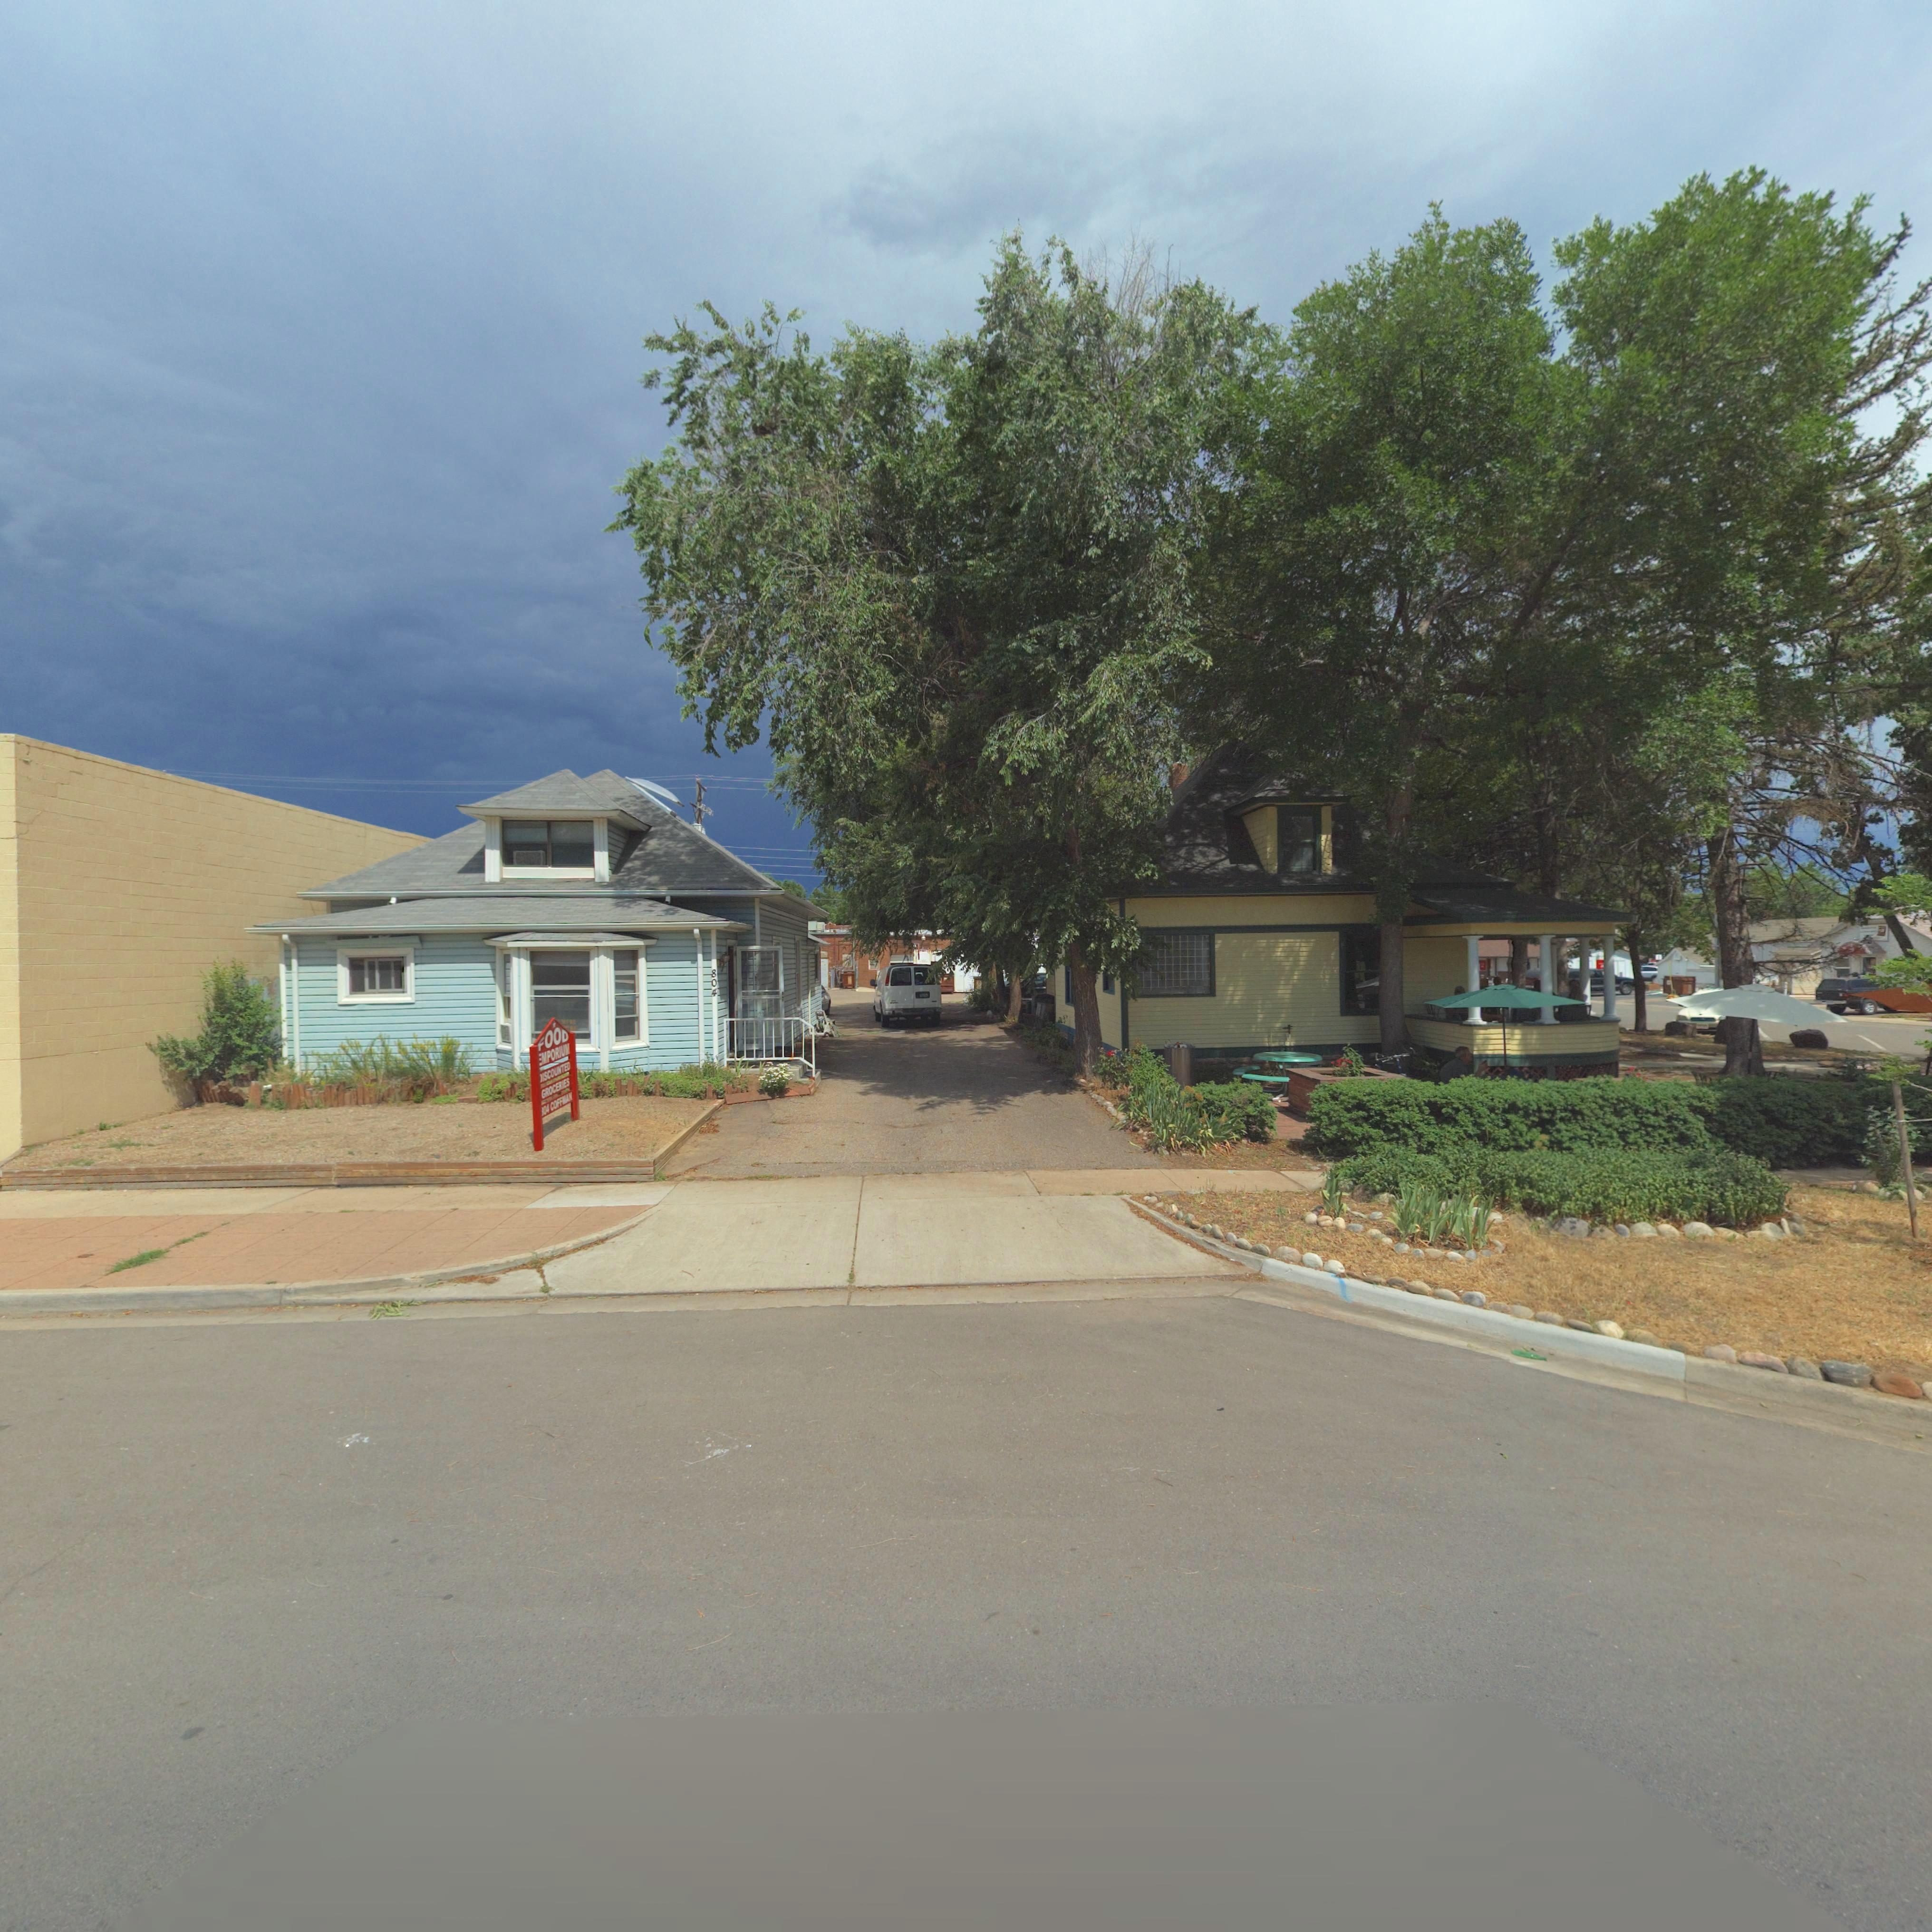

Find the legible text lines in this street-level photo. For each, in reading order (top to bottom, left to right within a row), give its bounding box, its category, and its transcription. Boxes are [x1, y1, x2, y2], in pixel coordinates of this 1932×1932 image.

[710, 968, 718, 997] StreetNumber: 804
[537, 1026, 569, 1052] BusinessName: FOOD
[537, 1042, 570, 1067] BusinessName: *MPORIUM
[539, 1102, 550, 1118] StreetNumber: *04